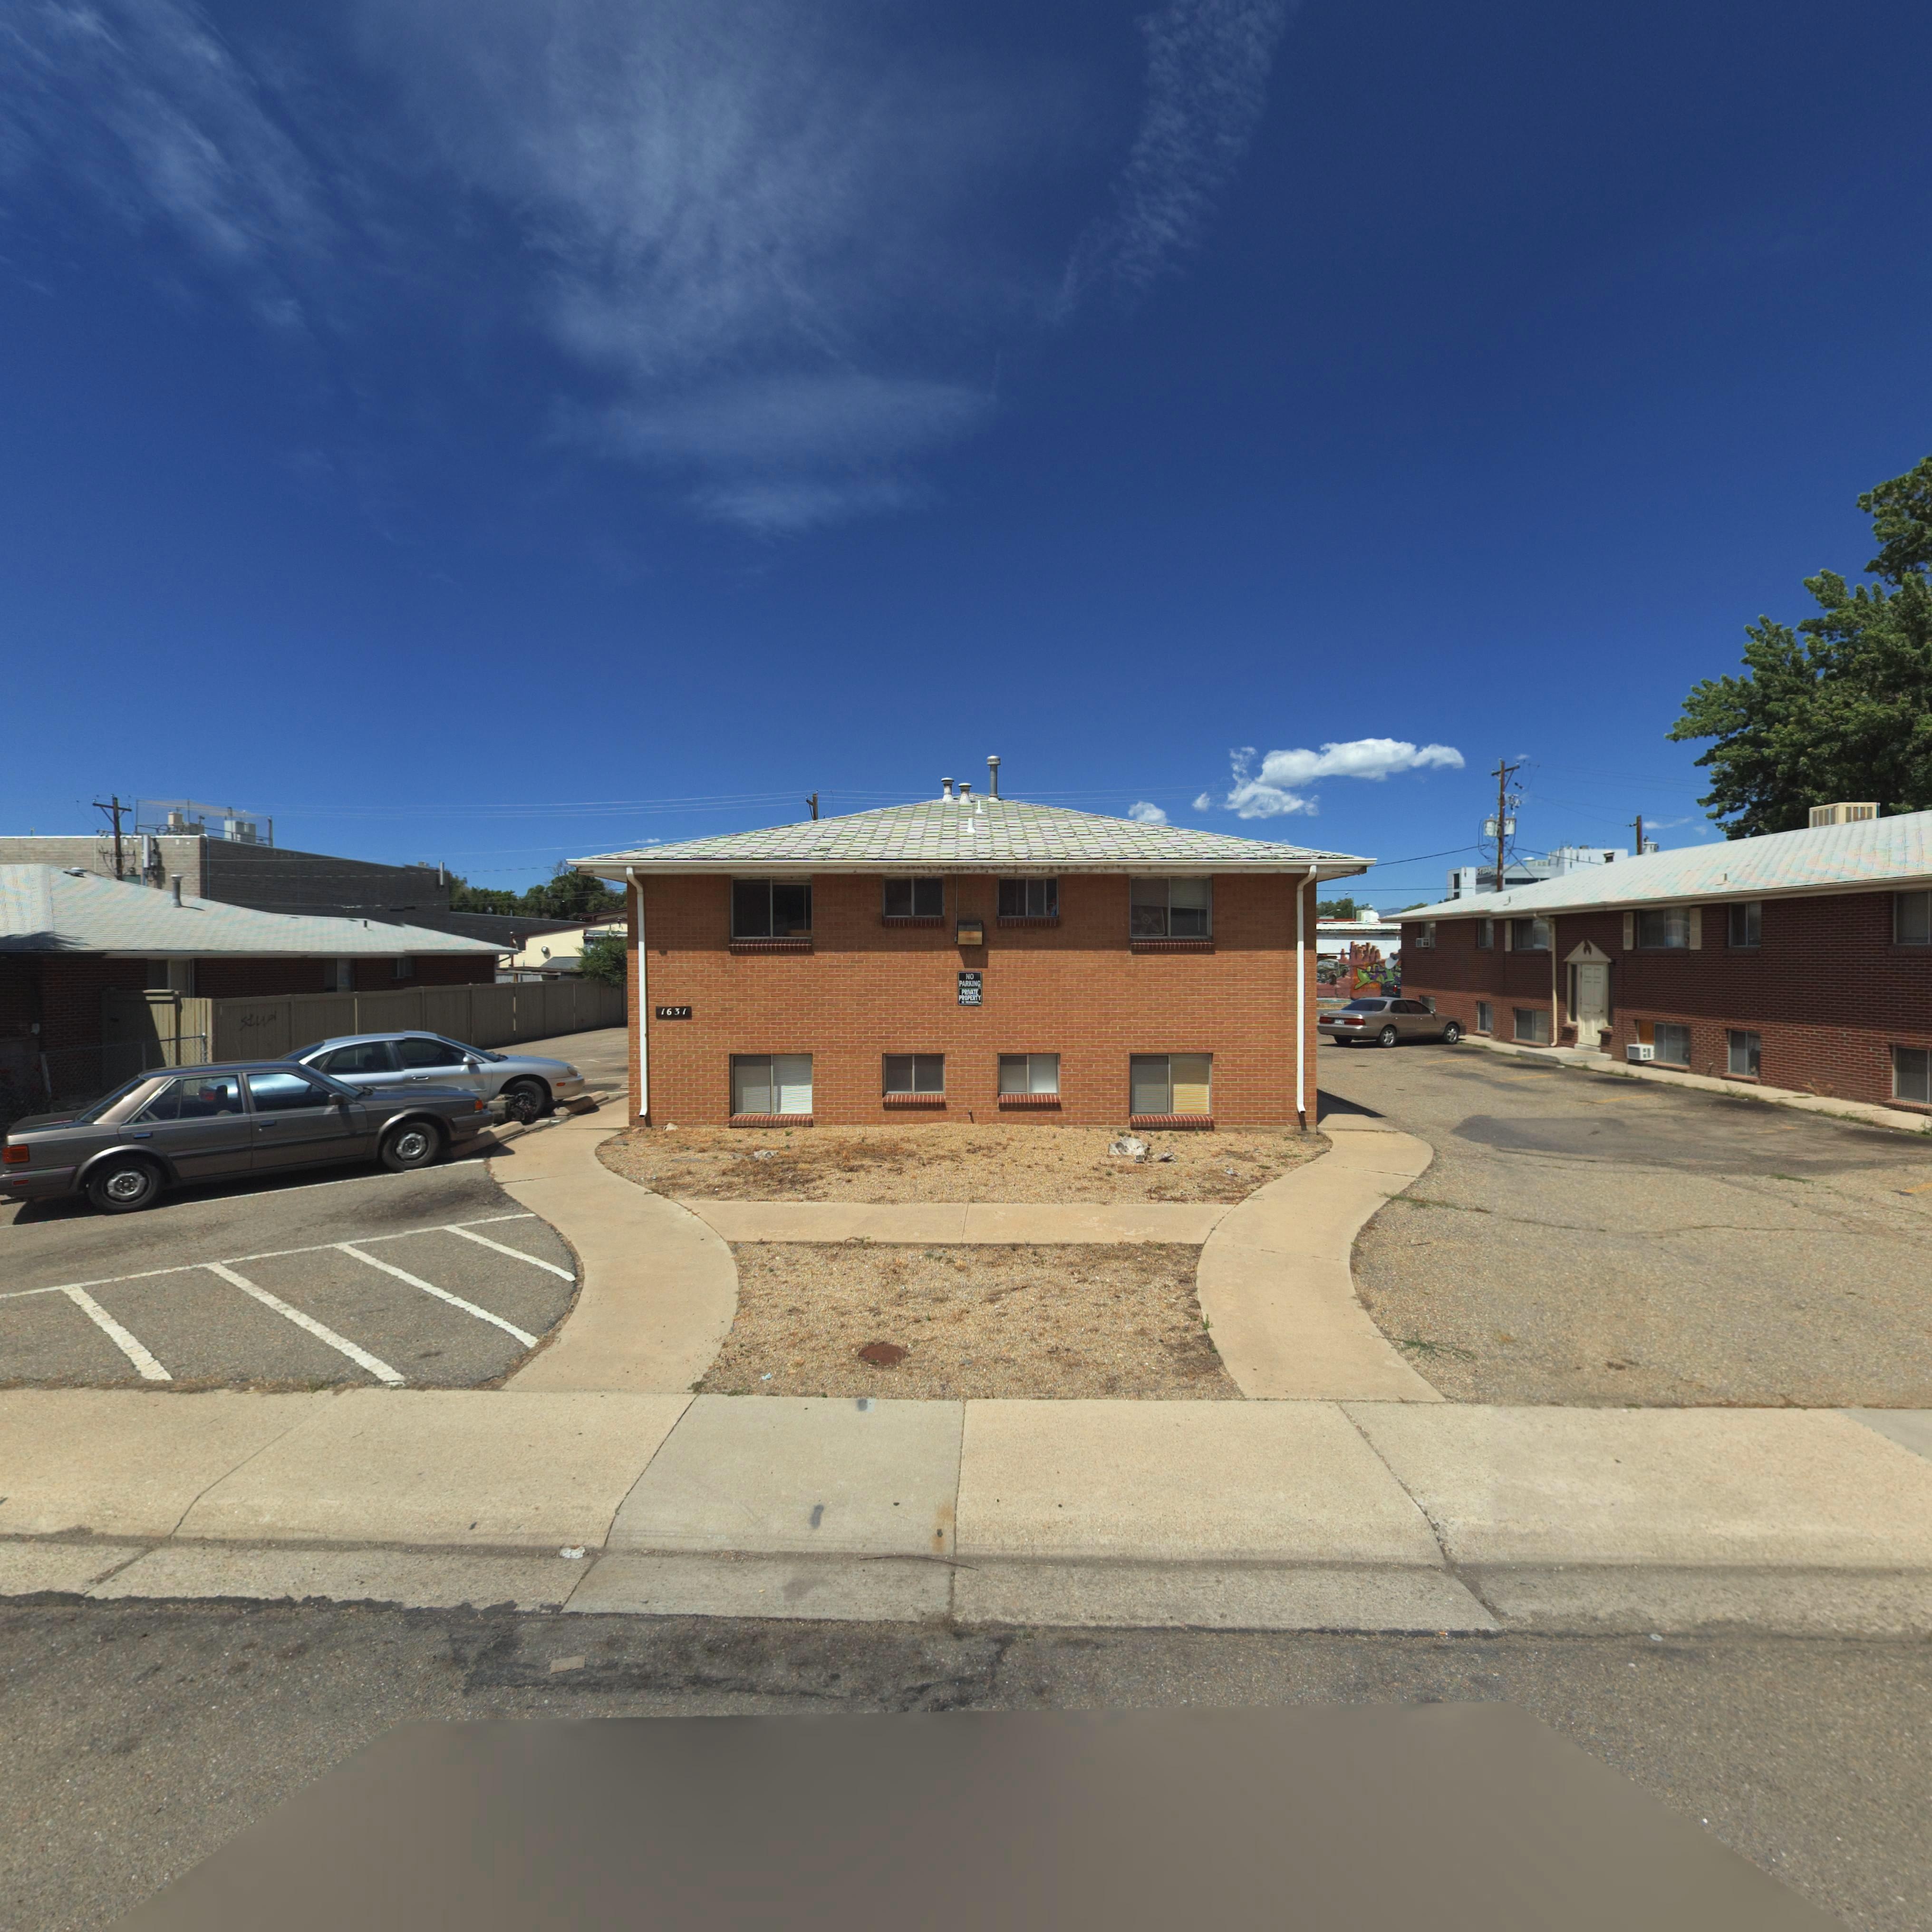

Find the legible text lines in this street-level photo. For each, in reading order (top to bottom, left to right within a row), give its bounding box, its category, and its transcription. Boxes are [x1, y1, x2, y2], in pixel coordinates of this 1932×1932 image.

[660, 1007, 687, 1015] StreetNumber: 1631